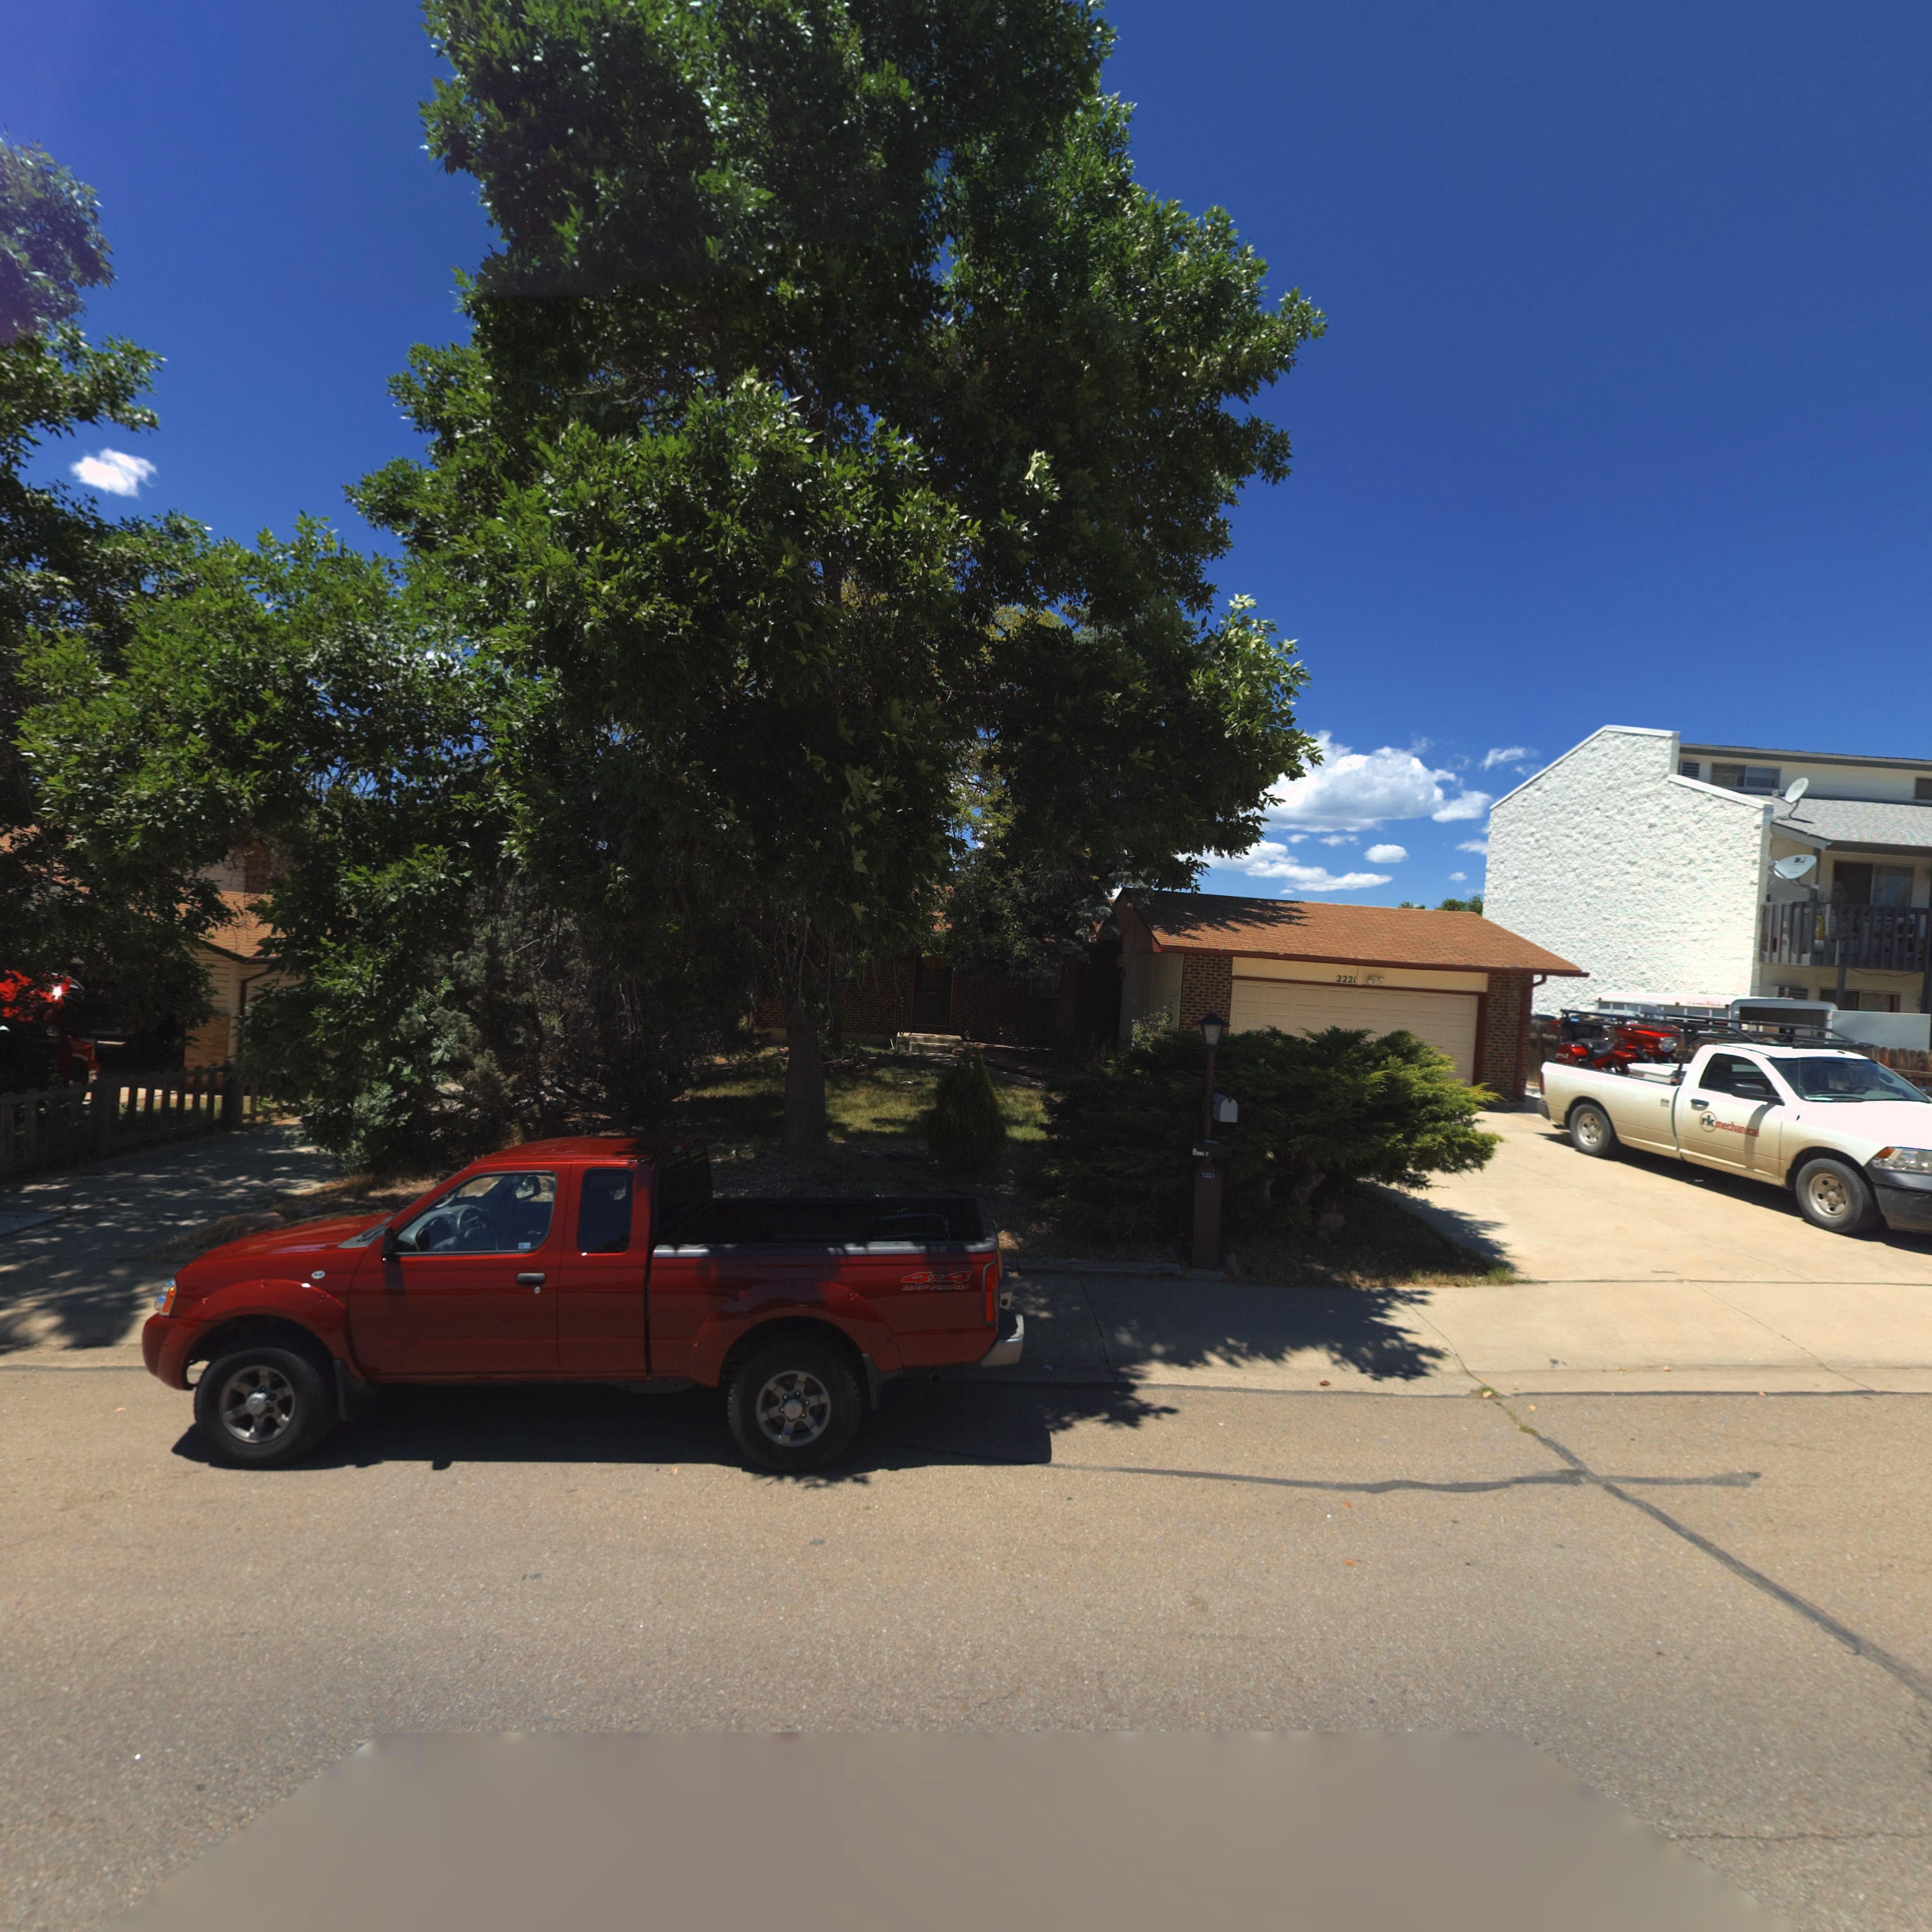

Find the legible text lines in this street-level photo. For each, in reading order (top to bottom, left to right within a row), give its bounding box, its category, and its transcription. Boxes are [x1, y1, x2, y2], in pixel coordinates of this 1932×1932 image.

[1336, 974, 1357, 983] StreetNumber: 2221
[1202, 1172, 1215, 1178] StreetNumber: **21